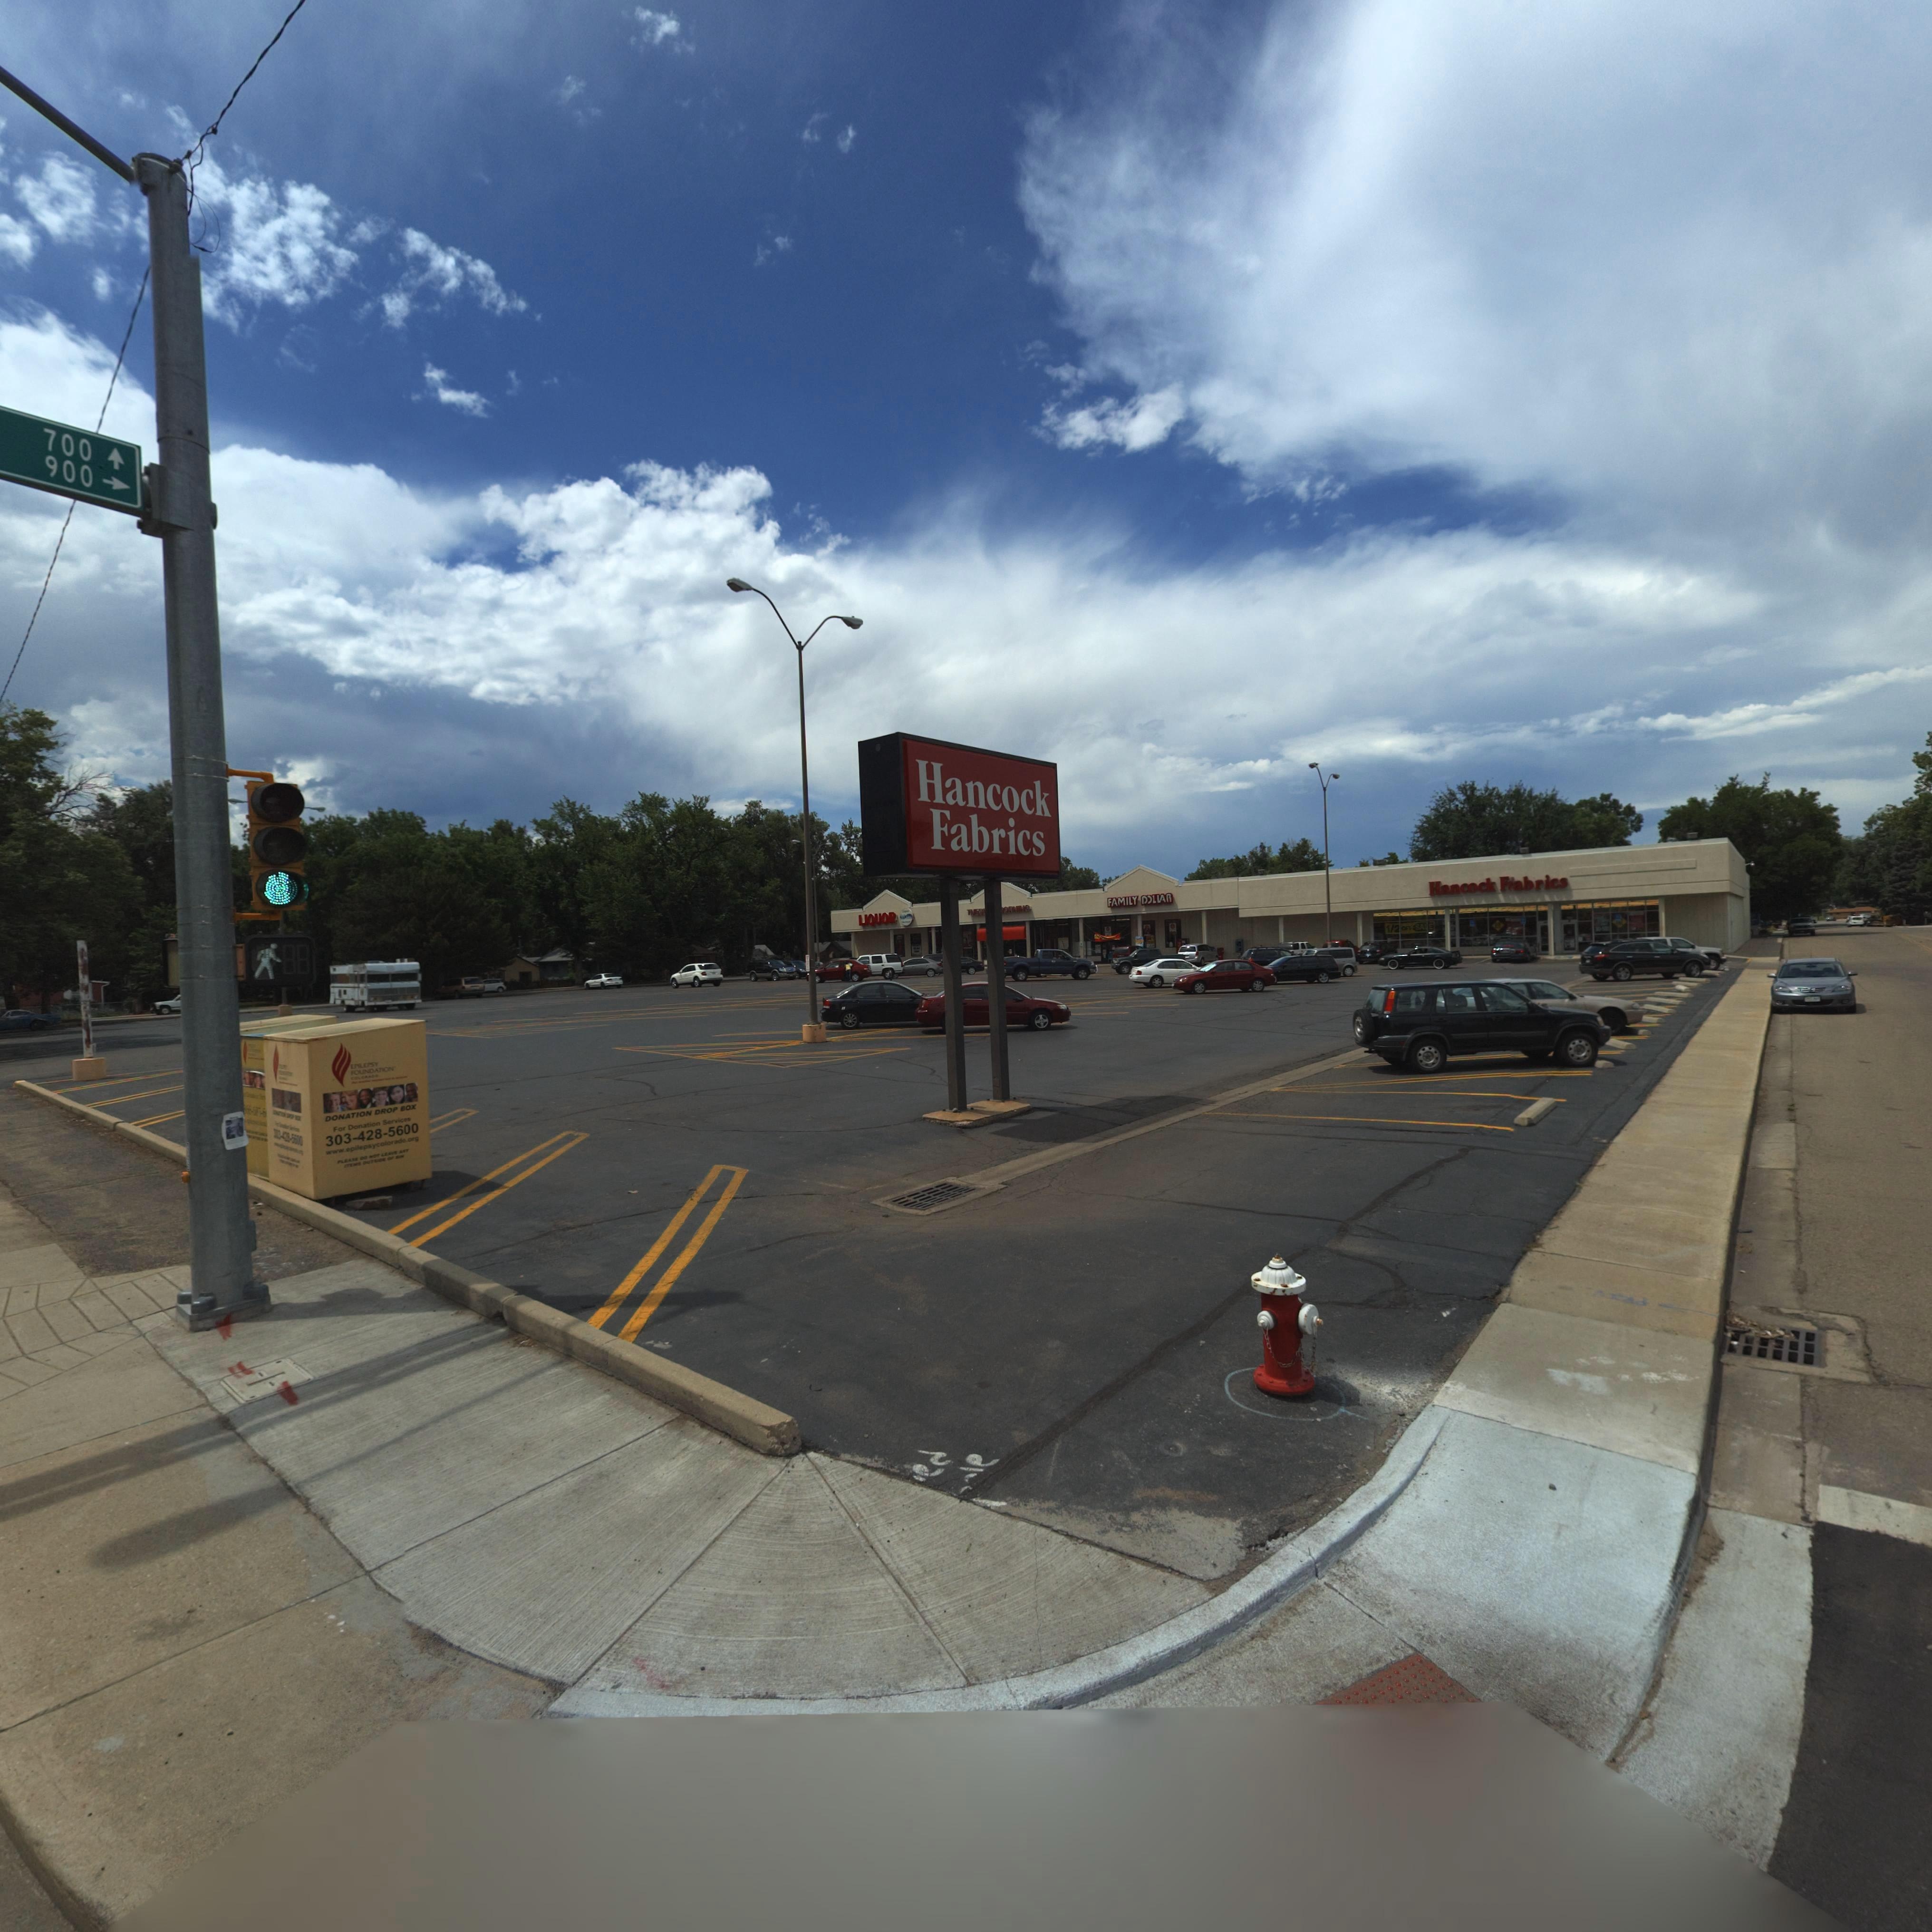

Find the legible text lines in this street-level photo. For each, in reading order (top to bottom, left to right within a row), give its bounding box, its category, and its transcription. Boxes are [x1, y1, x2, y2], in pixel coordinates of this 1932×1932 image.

[42, 427, 92, 462] StreetNumberRange: 700
[44, 454, 131, 490] StreetNumberRange: 900->
[914, 757, 1053, 818] BusinessName: Hancock
[928, 807, 1047, 857] BusinessName: Fabrics
[966, 904, 1031, 916] BusinessName: T****** **R**N*
[1107, 892, 1172, 907] BusinessName: FAMILY DOLLAR
[1428, 874, 1568, 896] BusinessName: Hancock F*abrics